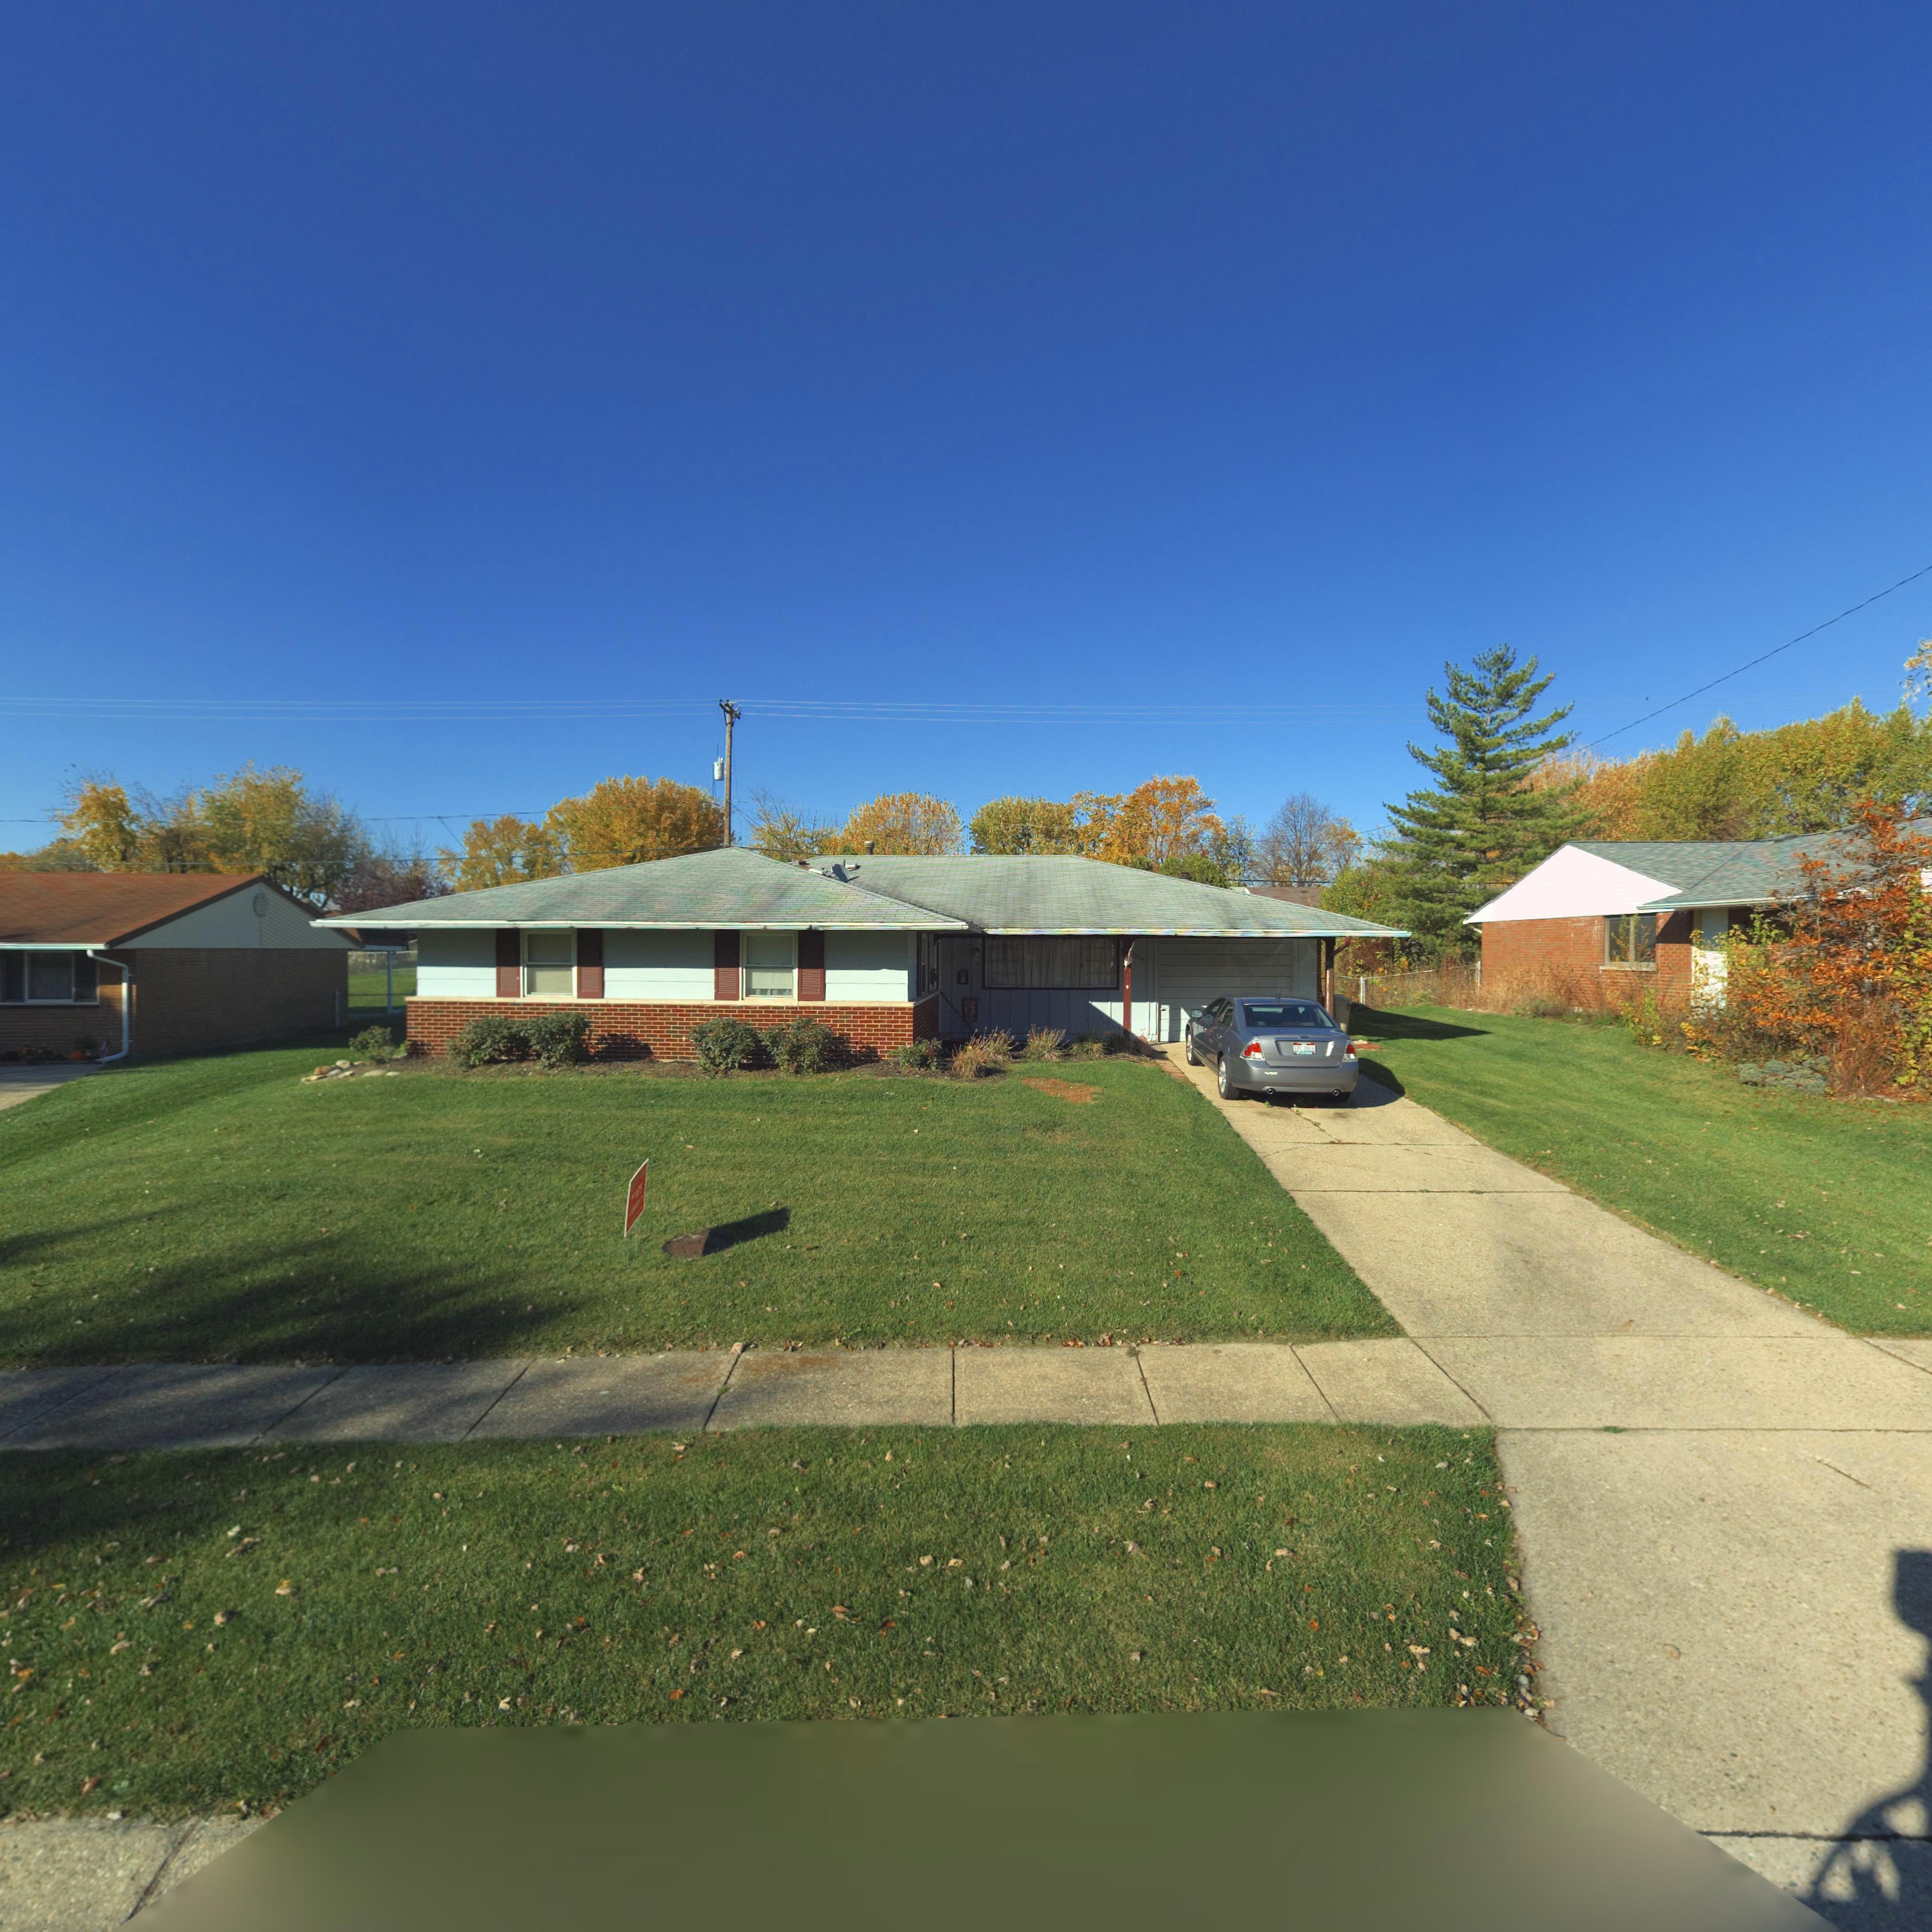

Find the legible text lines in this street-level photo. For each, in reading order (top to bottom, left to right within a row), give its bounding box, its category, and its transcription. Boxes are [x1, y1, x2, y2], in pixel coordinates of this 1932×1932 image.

[1132, 952, 1145, 963] StreetNumber: 7637